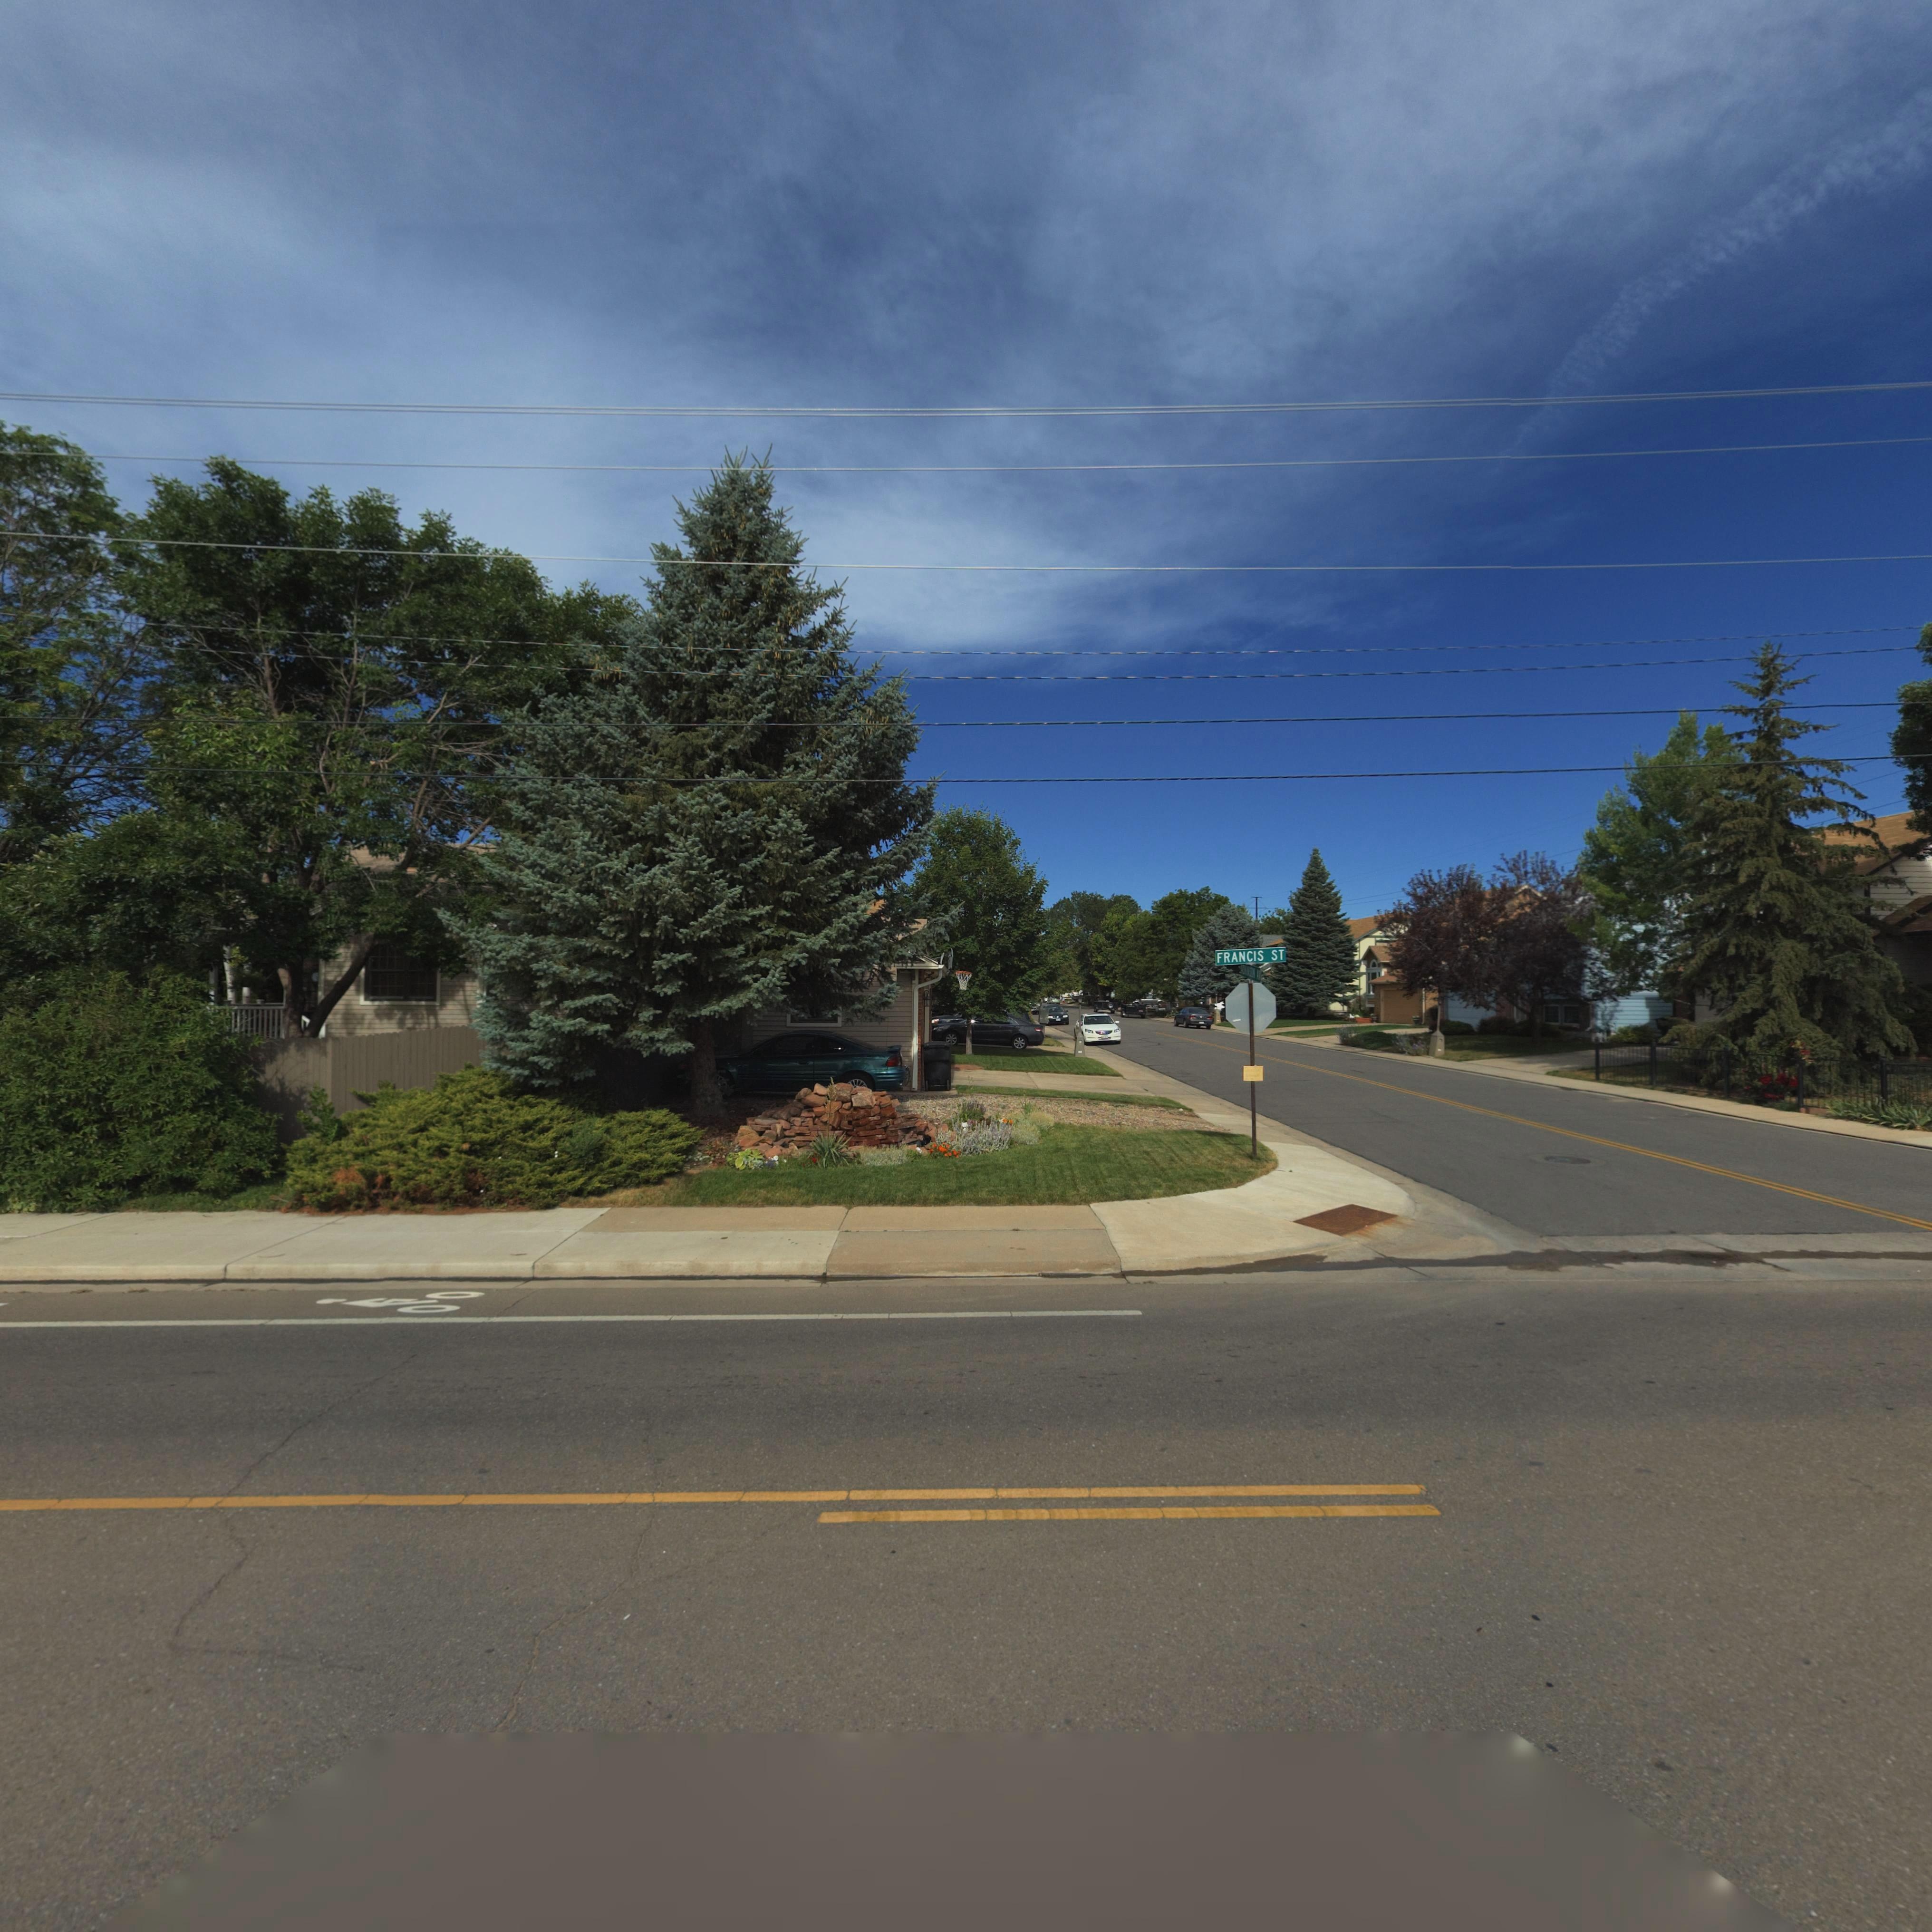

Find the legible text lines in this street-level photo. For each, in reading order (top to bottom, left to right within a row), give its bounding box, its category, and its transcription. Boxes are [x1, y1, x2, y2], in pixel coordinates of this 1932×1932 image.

[1217, 949, 1284, 963] StreetName: FRANCIS ST
[1240, 964, 1260, 981] StreetName: A*****ON AV